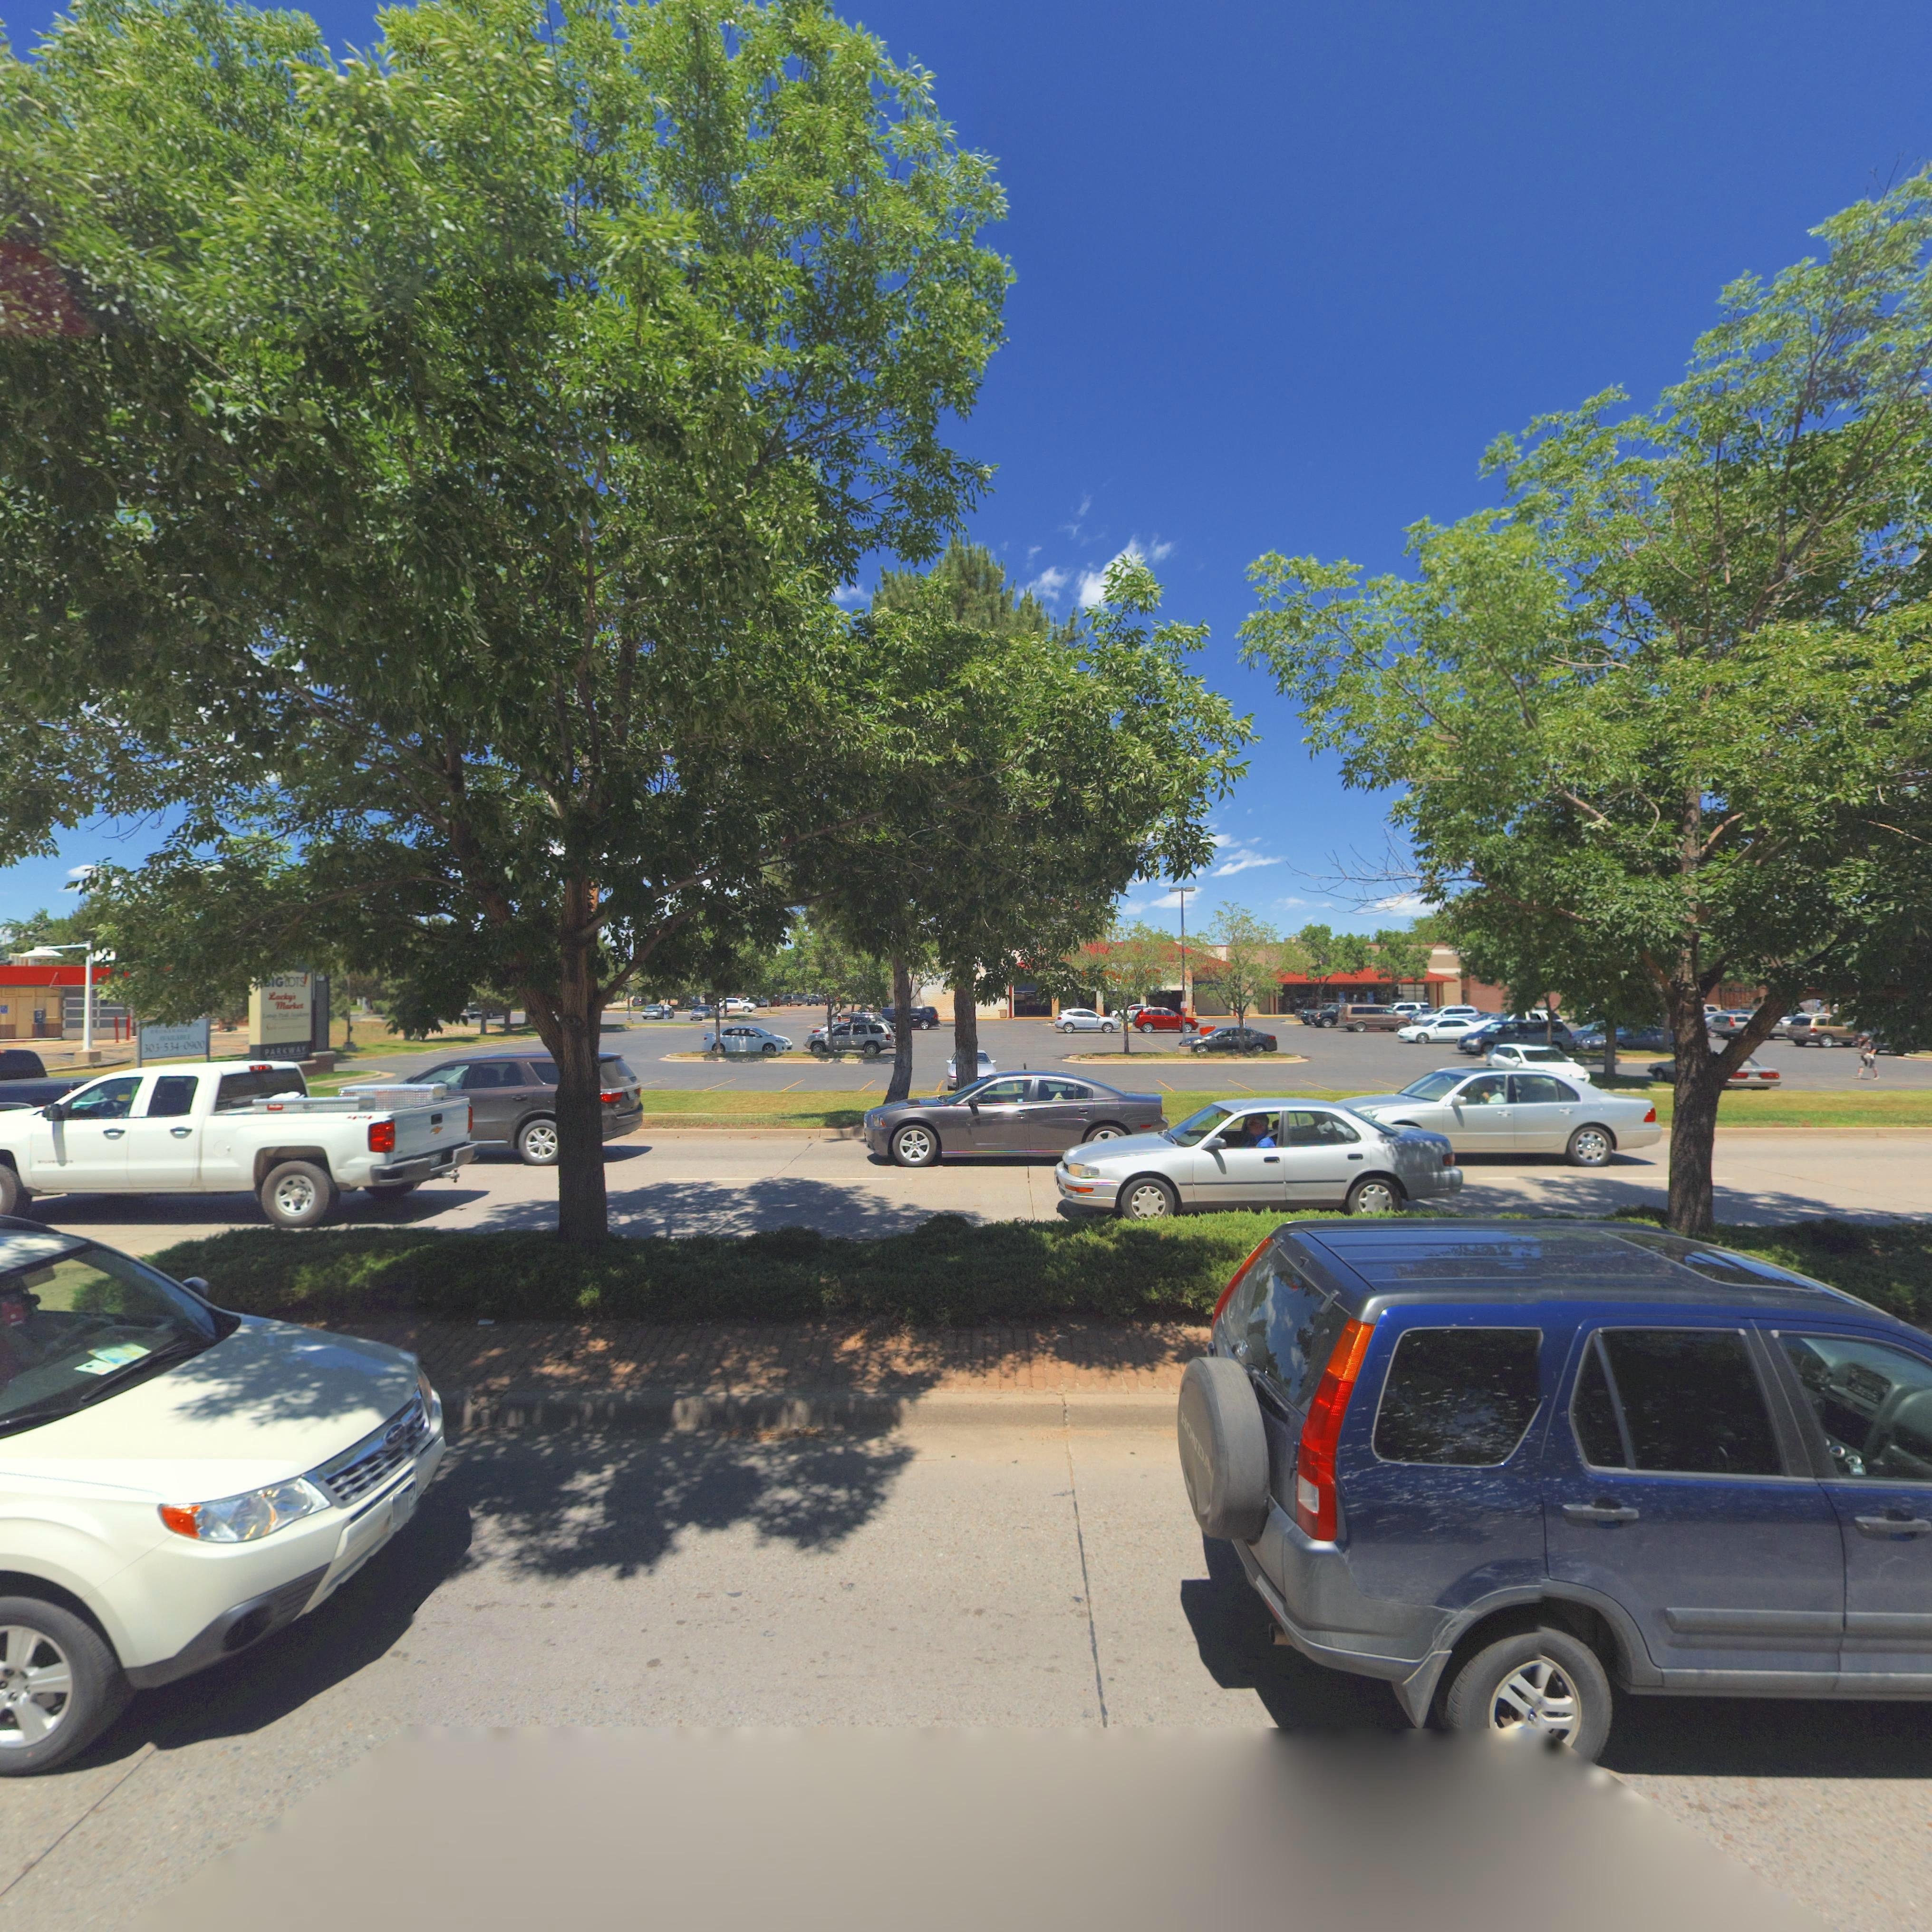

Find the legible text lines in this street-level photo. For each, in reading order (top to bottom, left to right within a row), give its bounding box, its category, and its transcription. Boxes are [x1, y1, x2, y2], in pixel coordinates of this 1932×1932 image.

[262, 976, 305, 987] BusinessName: **G*OTS
[267, 991, 297, 1004] BusinessName: L*cky*
[274, 1001, 304, 1010] BusinessName: Mar*e*